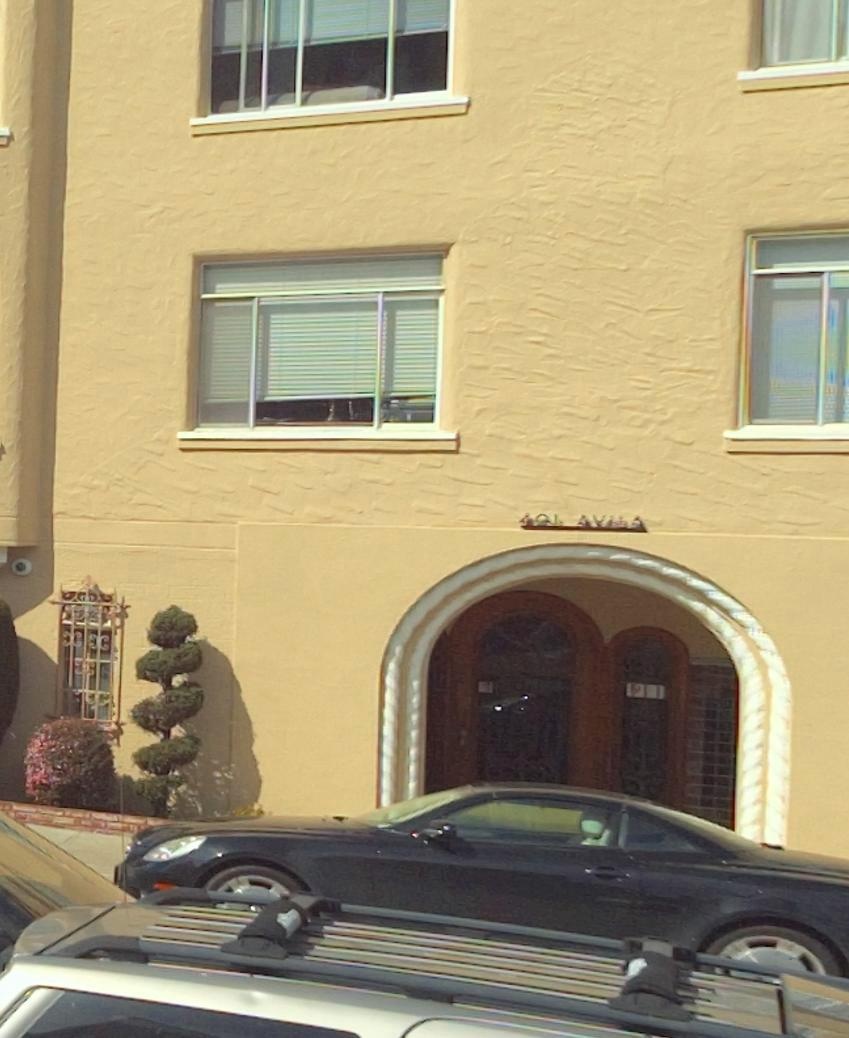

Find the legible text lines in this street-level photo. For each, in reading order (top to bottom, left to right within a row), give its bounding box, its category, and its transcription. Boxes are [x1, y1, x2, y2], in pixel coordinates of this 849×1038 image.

[515, 511, 561, 527] StreetNumber: 401
[573, 511, 647, 532] StreetName: AV***